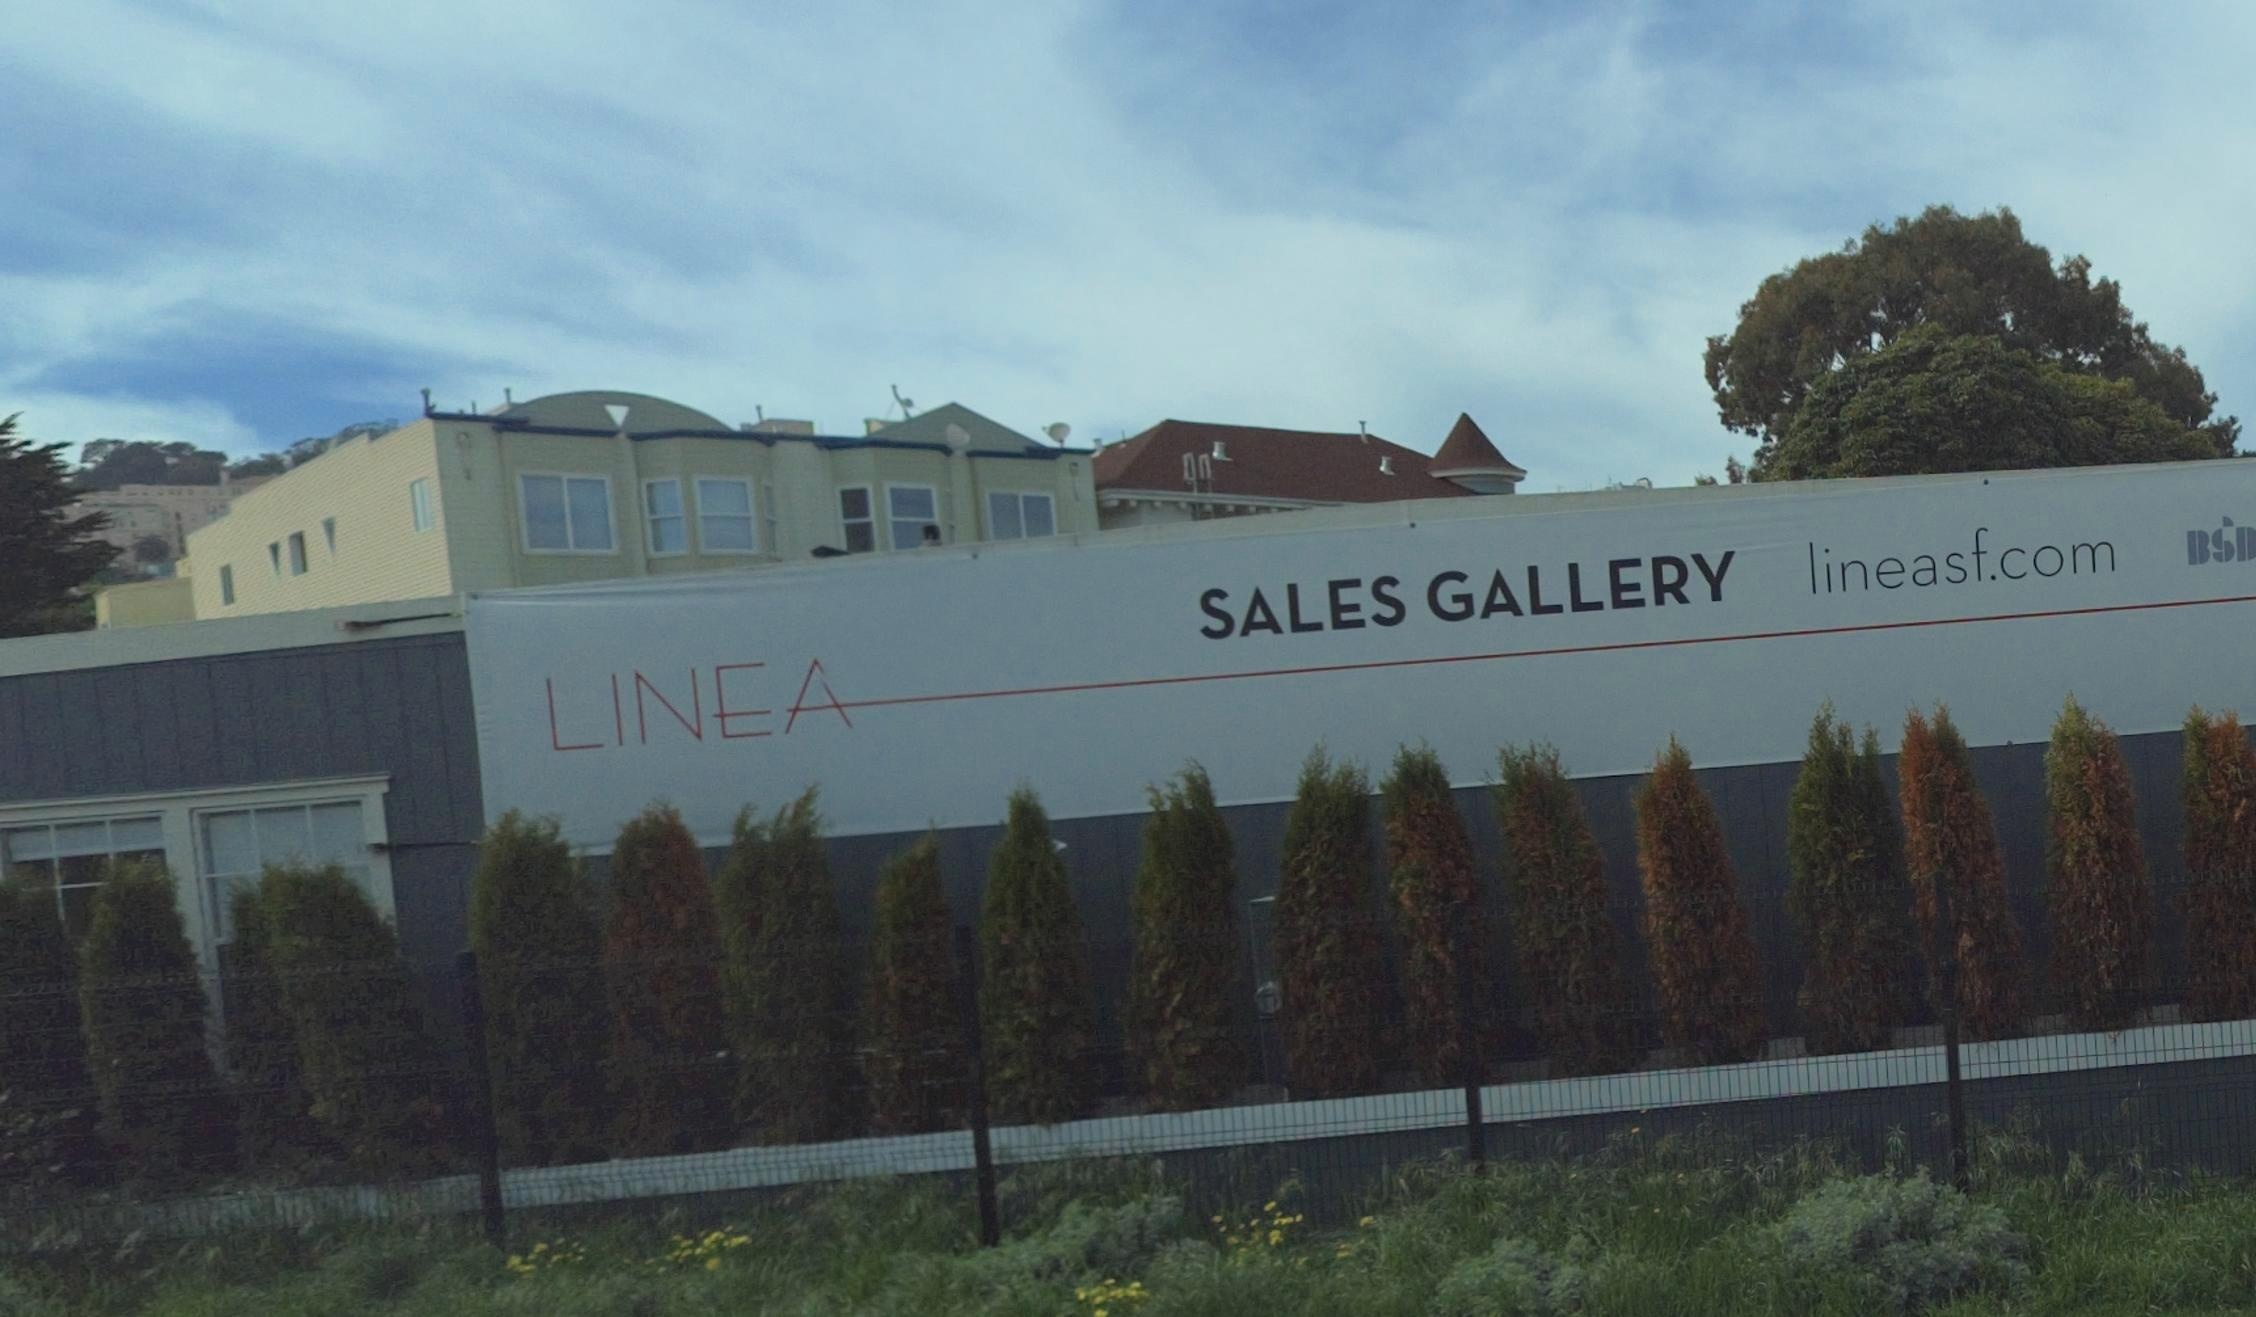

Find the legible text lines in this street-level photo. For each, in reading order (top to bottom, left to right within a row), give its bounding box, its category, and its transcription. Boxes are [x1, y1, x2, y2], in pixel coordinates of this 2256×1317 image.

[1192, 546, 1741, 647] BusinessName: SALES GALLERY
[1805, 524, 2119, 598] None: lineasf.com
[2183, 526, 2214, 569] None: B
[540, 651, 857, 755] BusinessName: LINEA